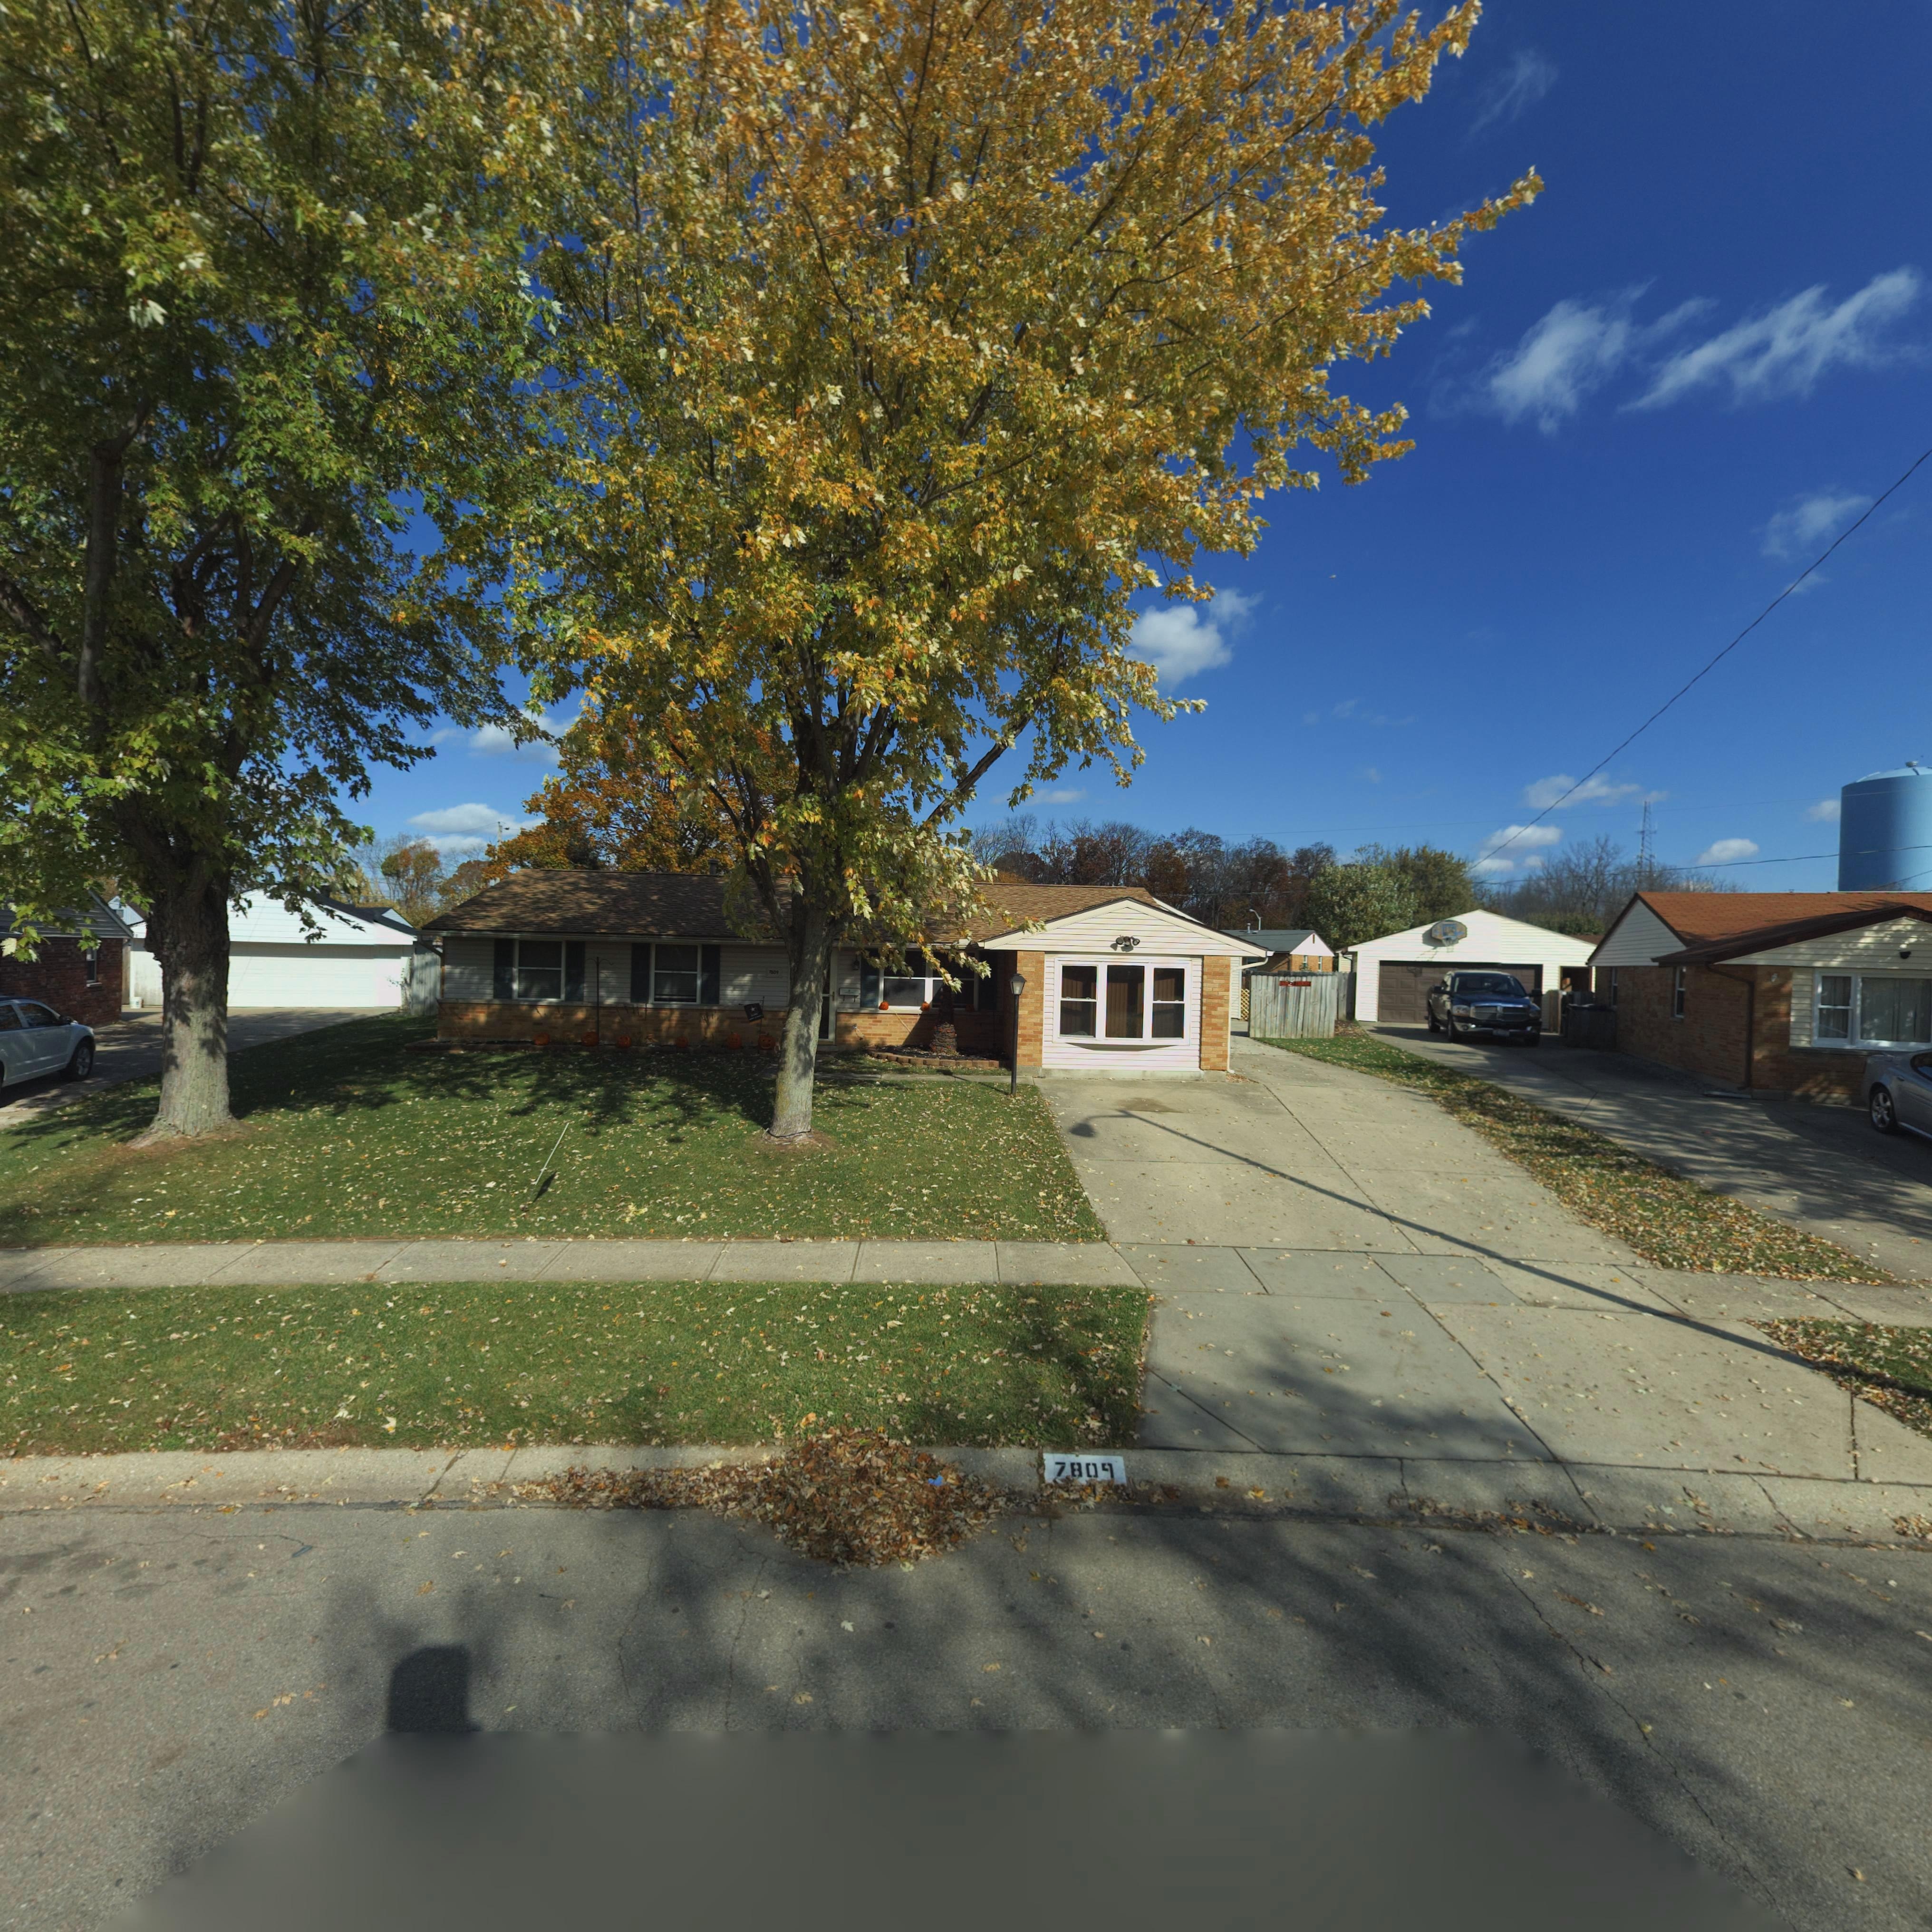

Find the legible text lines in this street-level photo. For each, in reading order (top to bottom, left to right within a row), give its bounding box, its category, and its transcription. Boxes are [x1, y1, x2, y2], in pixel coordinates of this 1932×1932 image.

[768, 969, 779, 975] StreetNumber: 7809
[1054, 1461, 1115, 1479] StreetNumber: 7809